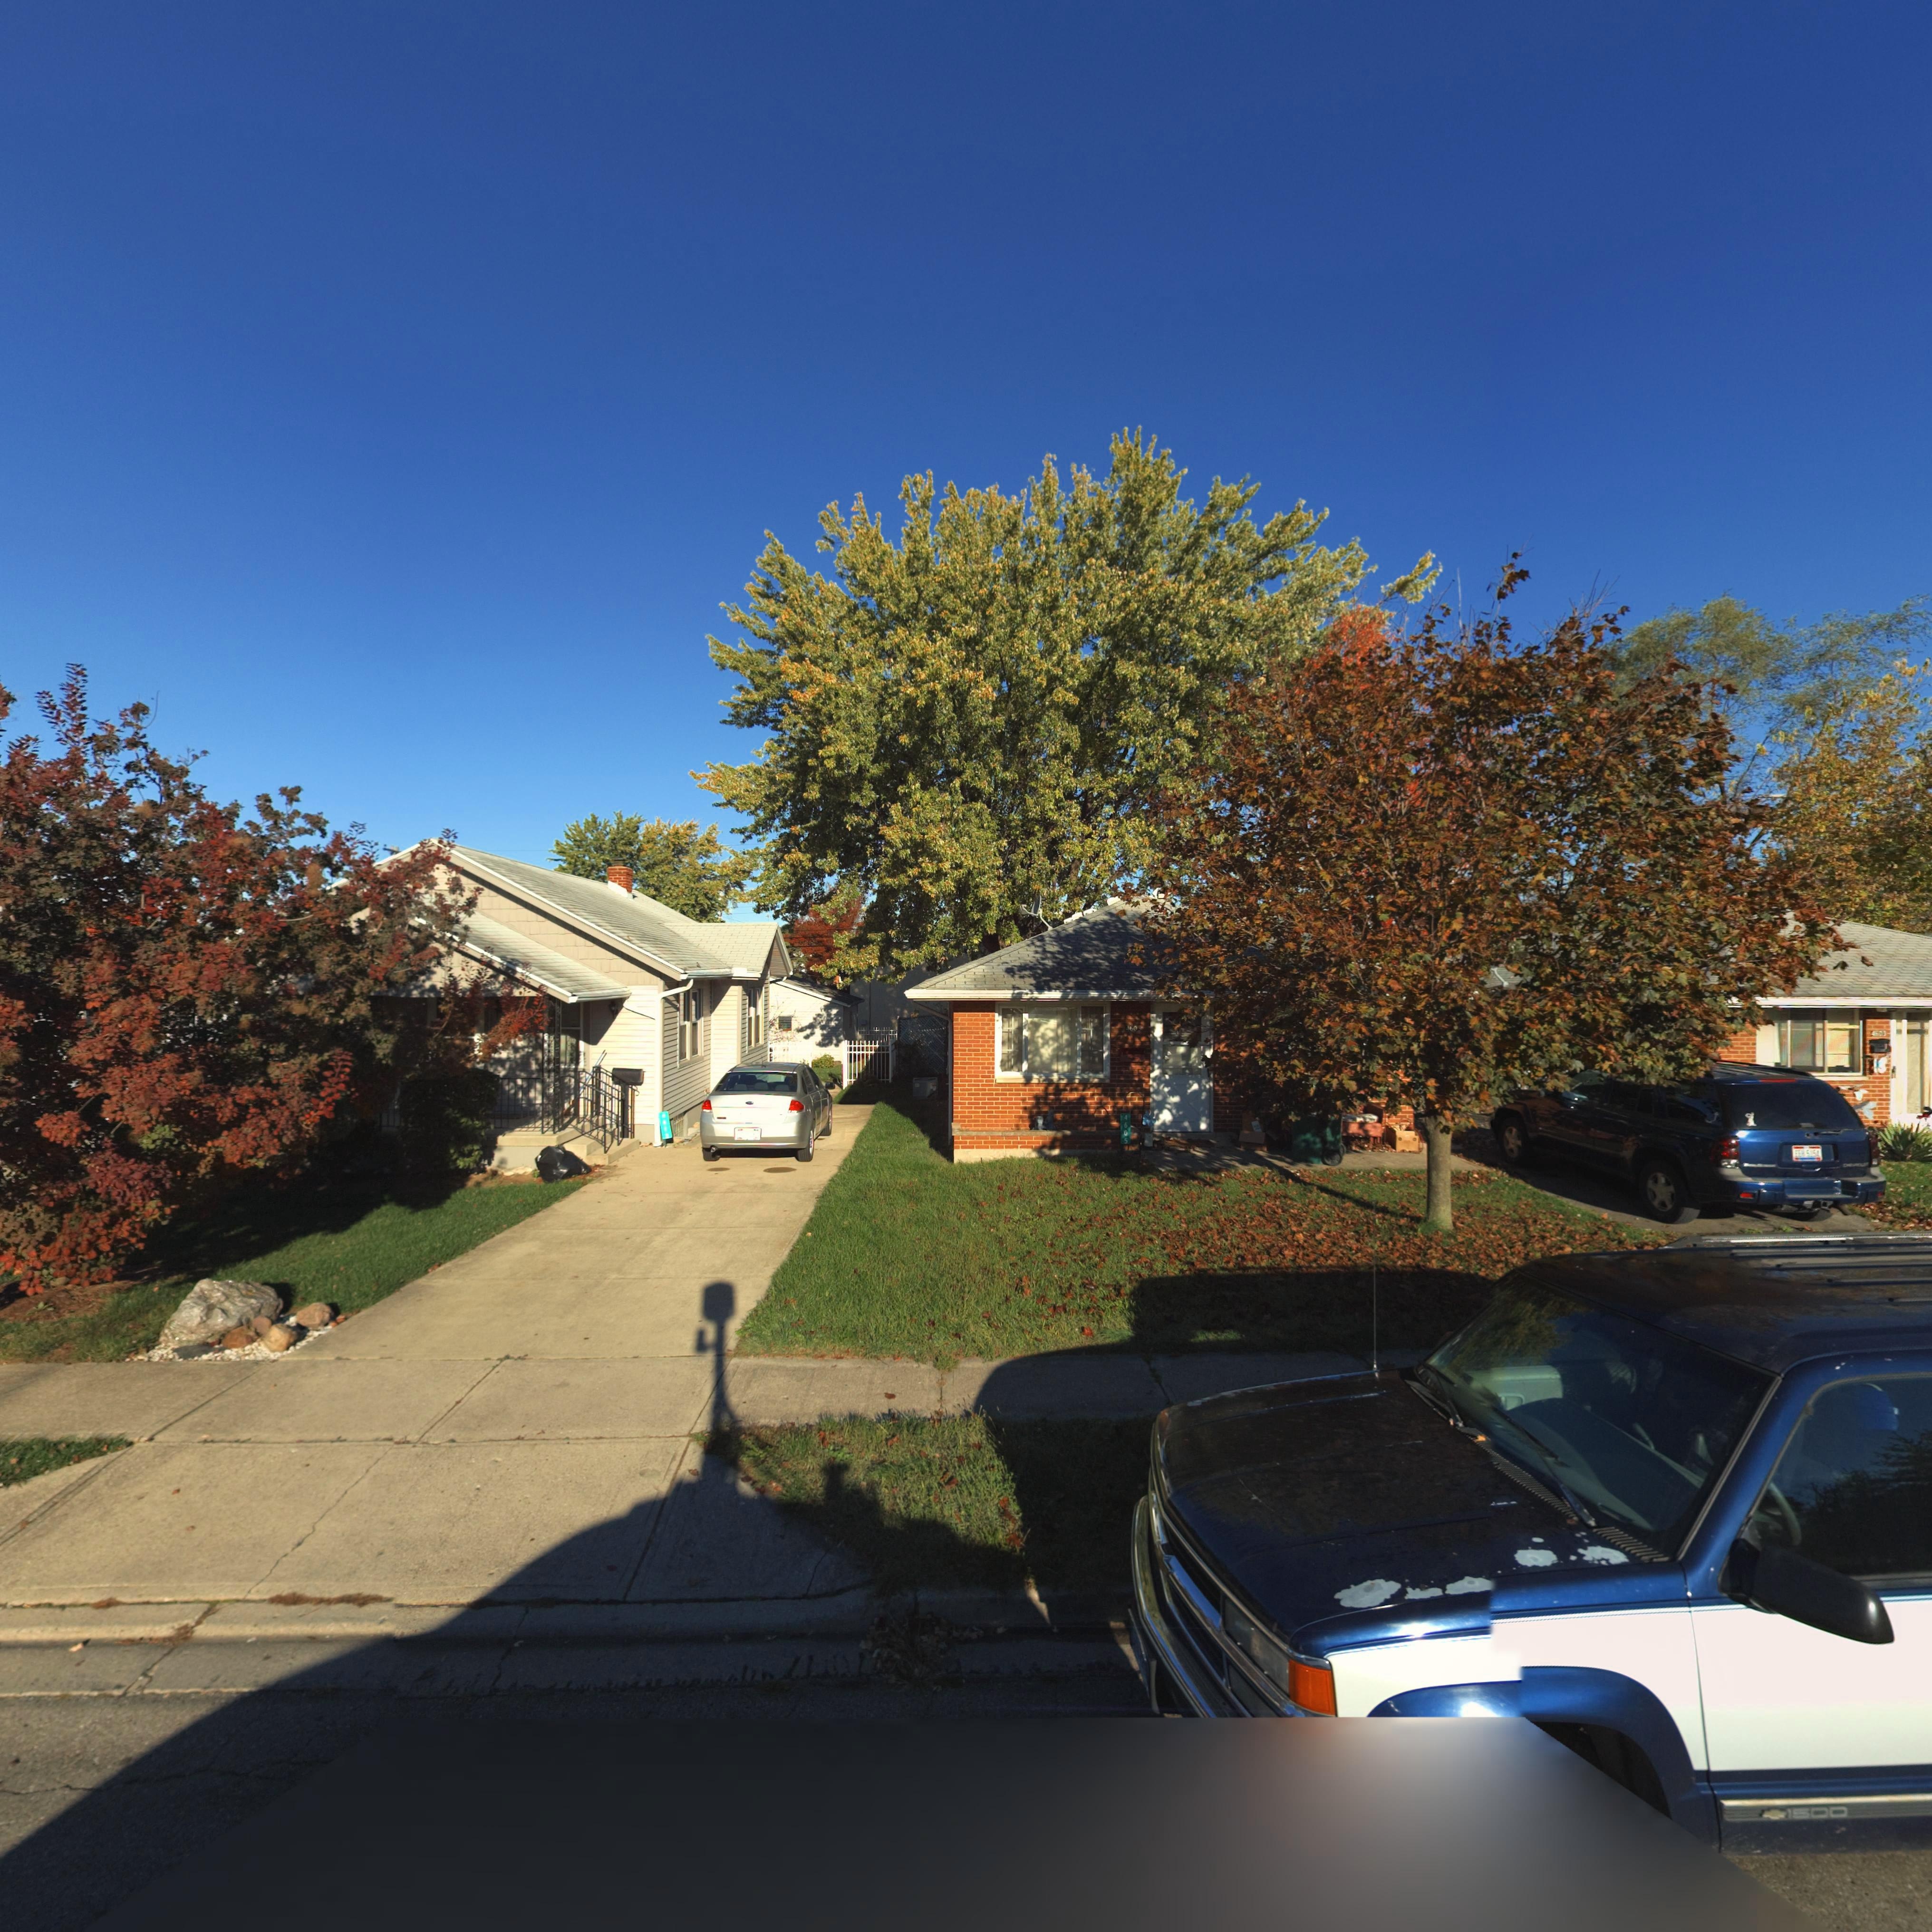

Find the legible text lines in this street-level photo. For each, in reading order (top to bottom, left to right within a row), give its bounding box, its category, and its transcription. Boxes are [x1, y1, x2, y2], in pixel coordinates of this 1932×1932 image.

[1125, 1025, 1142, 1032] StreetNumber: 460*
[1123, 1113, 1129, 1145] StreetNumber: 4605